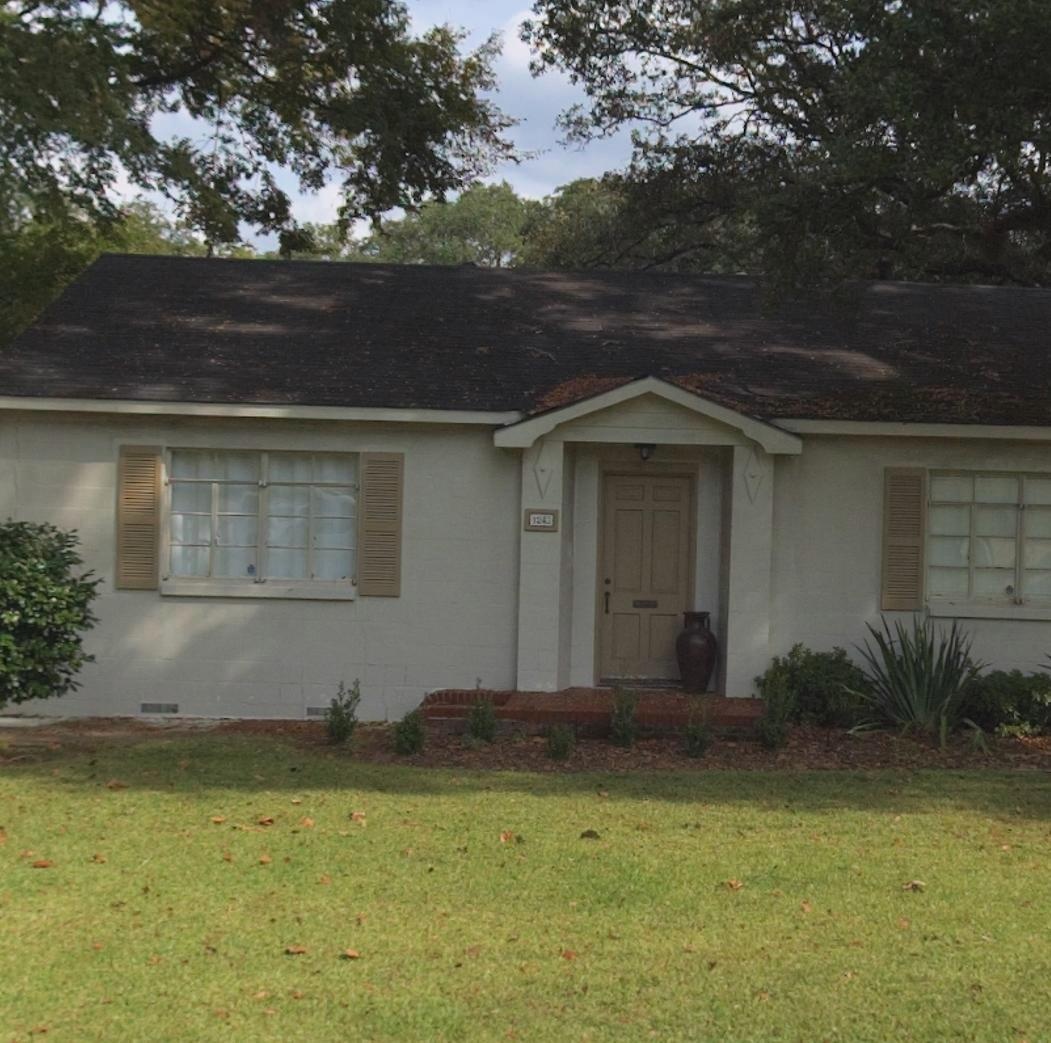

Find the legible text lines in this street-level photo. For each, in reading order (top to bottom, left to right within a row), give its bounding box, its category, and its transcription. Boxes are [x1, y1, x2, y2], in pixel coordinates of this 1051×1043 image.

[531, 514, 553, 526] StreetNumber: 1243